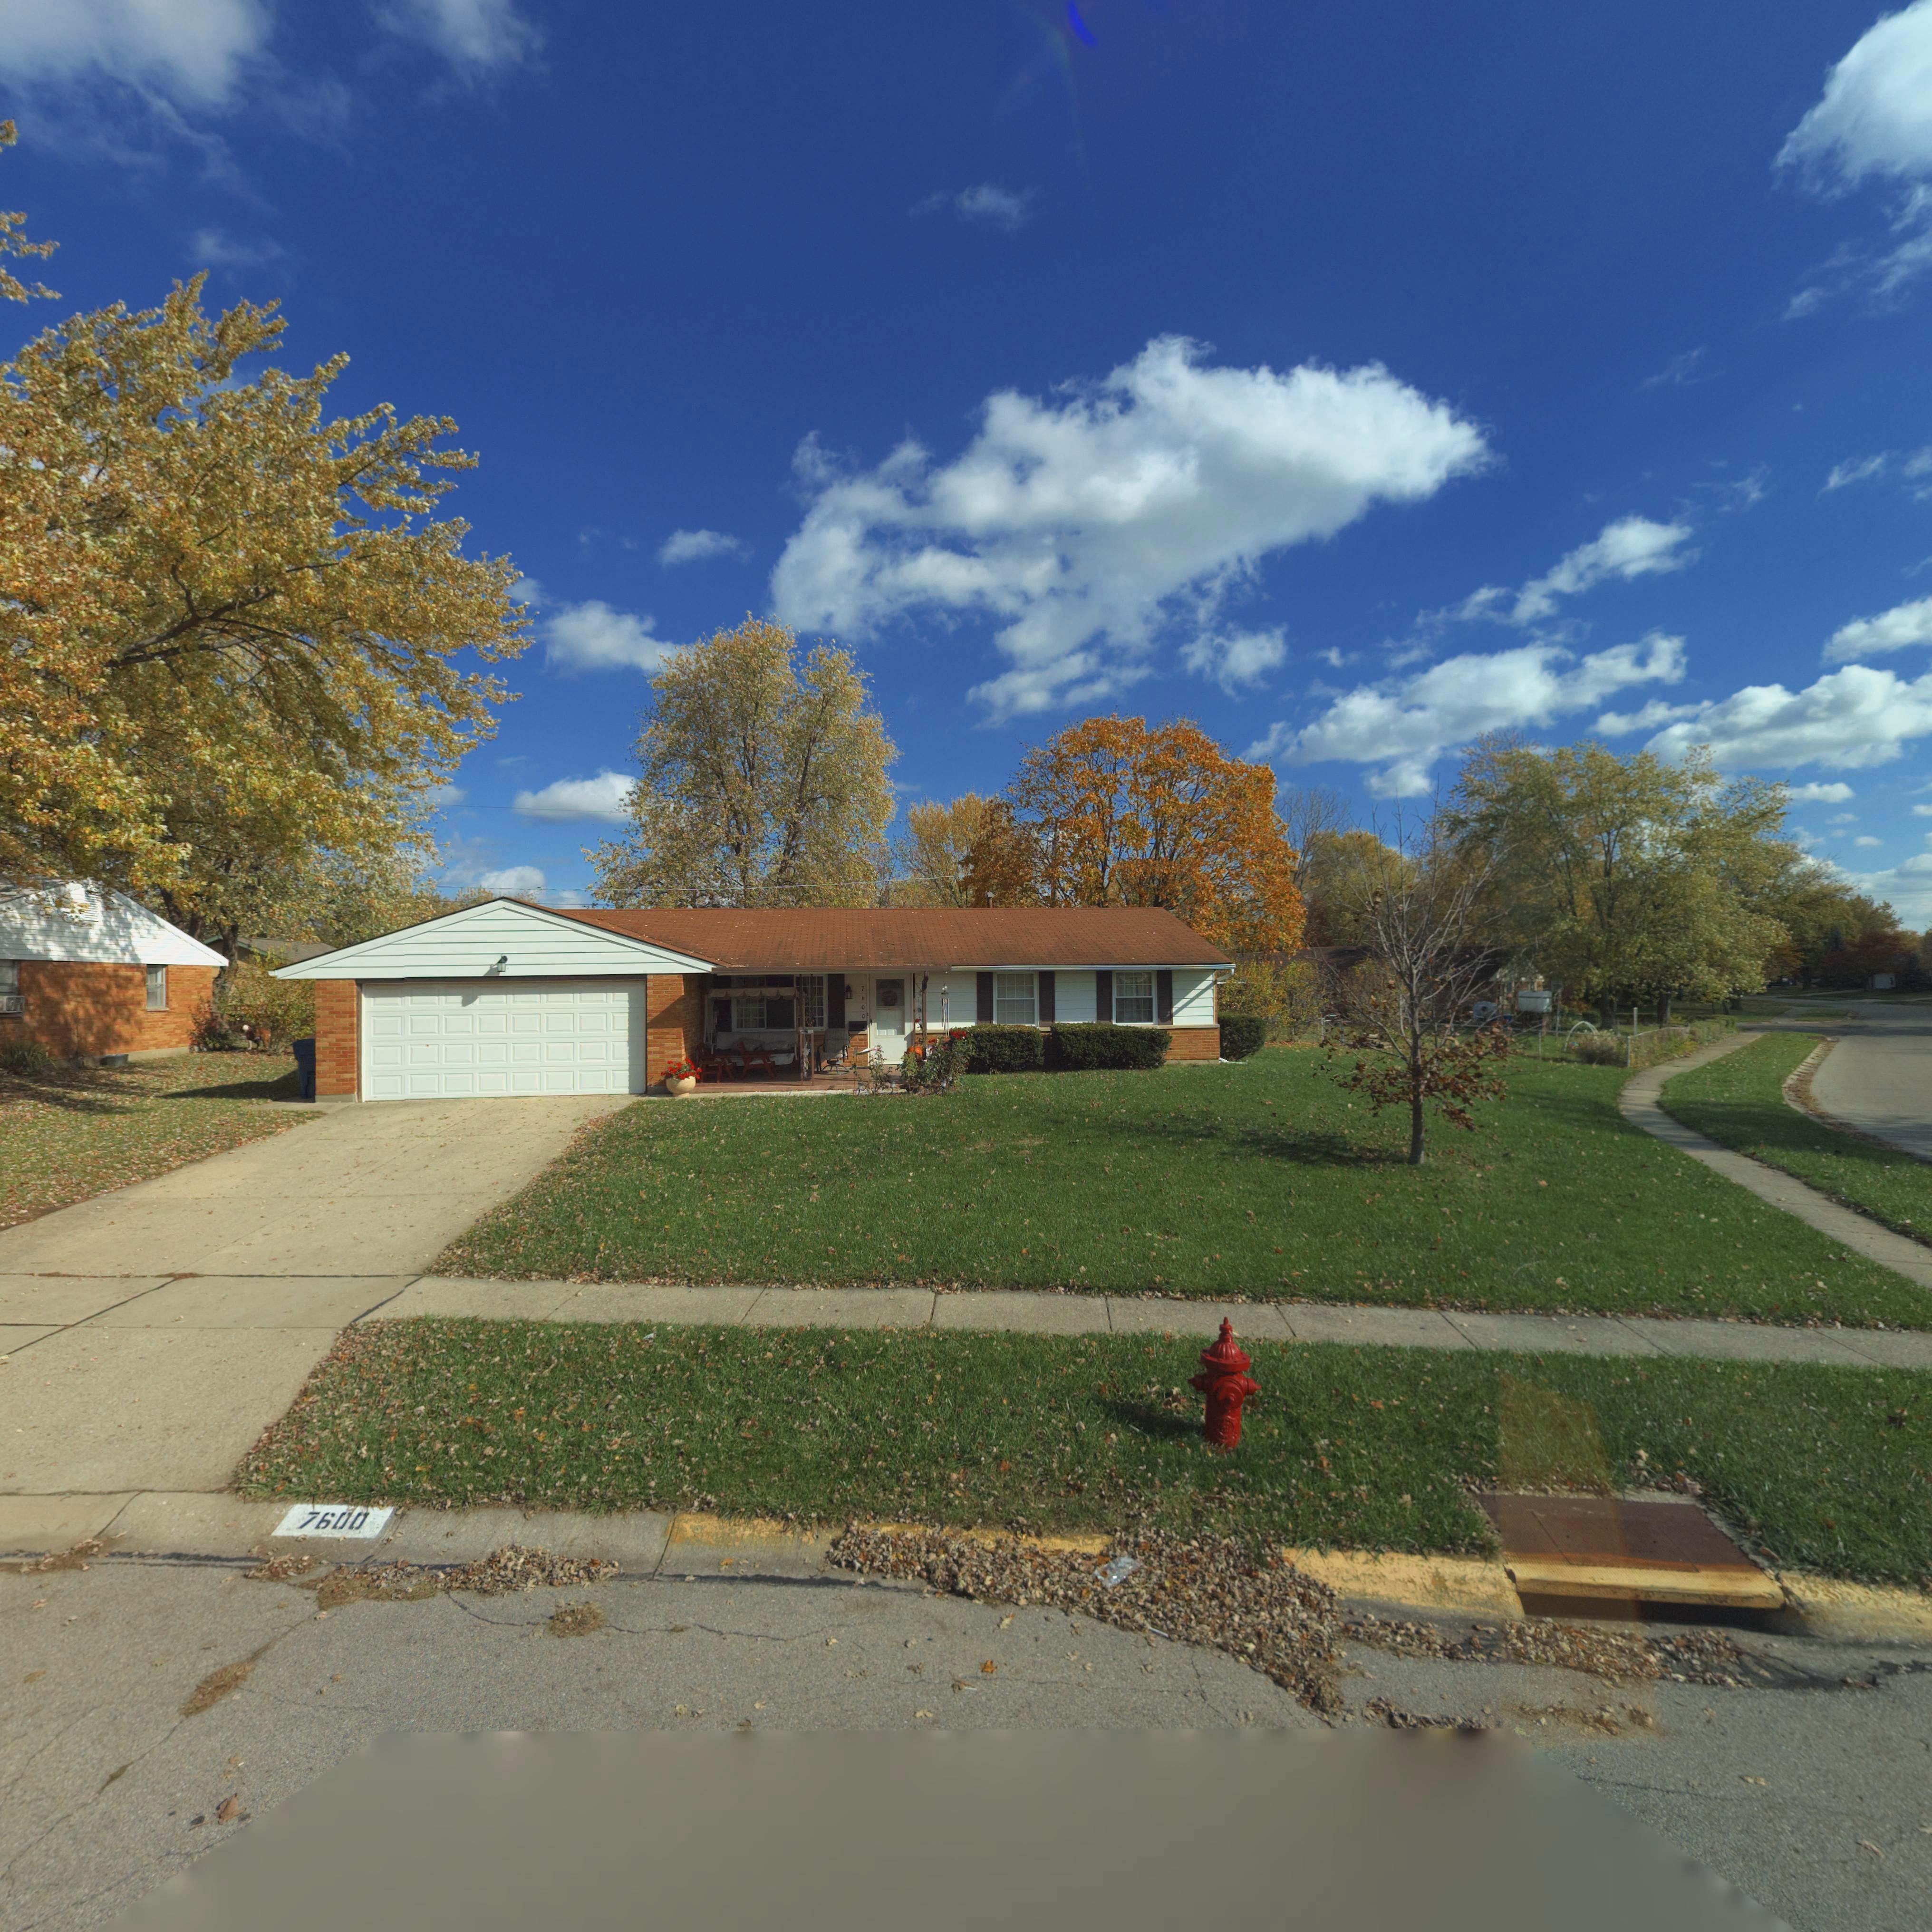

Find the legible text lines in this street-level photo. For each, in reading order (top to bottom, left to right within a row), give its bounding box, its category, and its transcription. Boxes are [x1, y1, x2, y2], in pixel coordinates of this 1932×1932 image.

[860, 985, 866, 1019] StreetNumber: 7600
[296, 1511, 371, 1531] StreetNumber: 7600